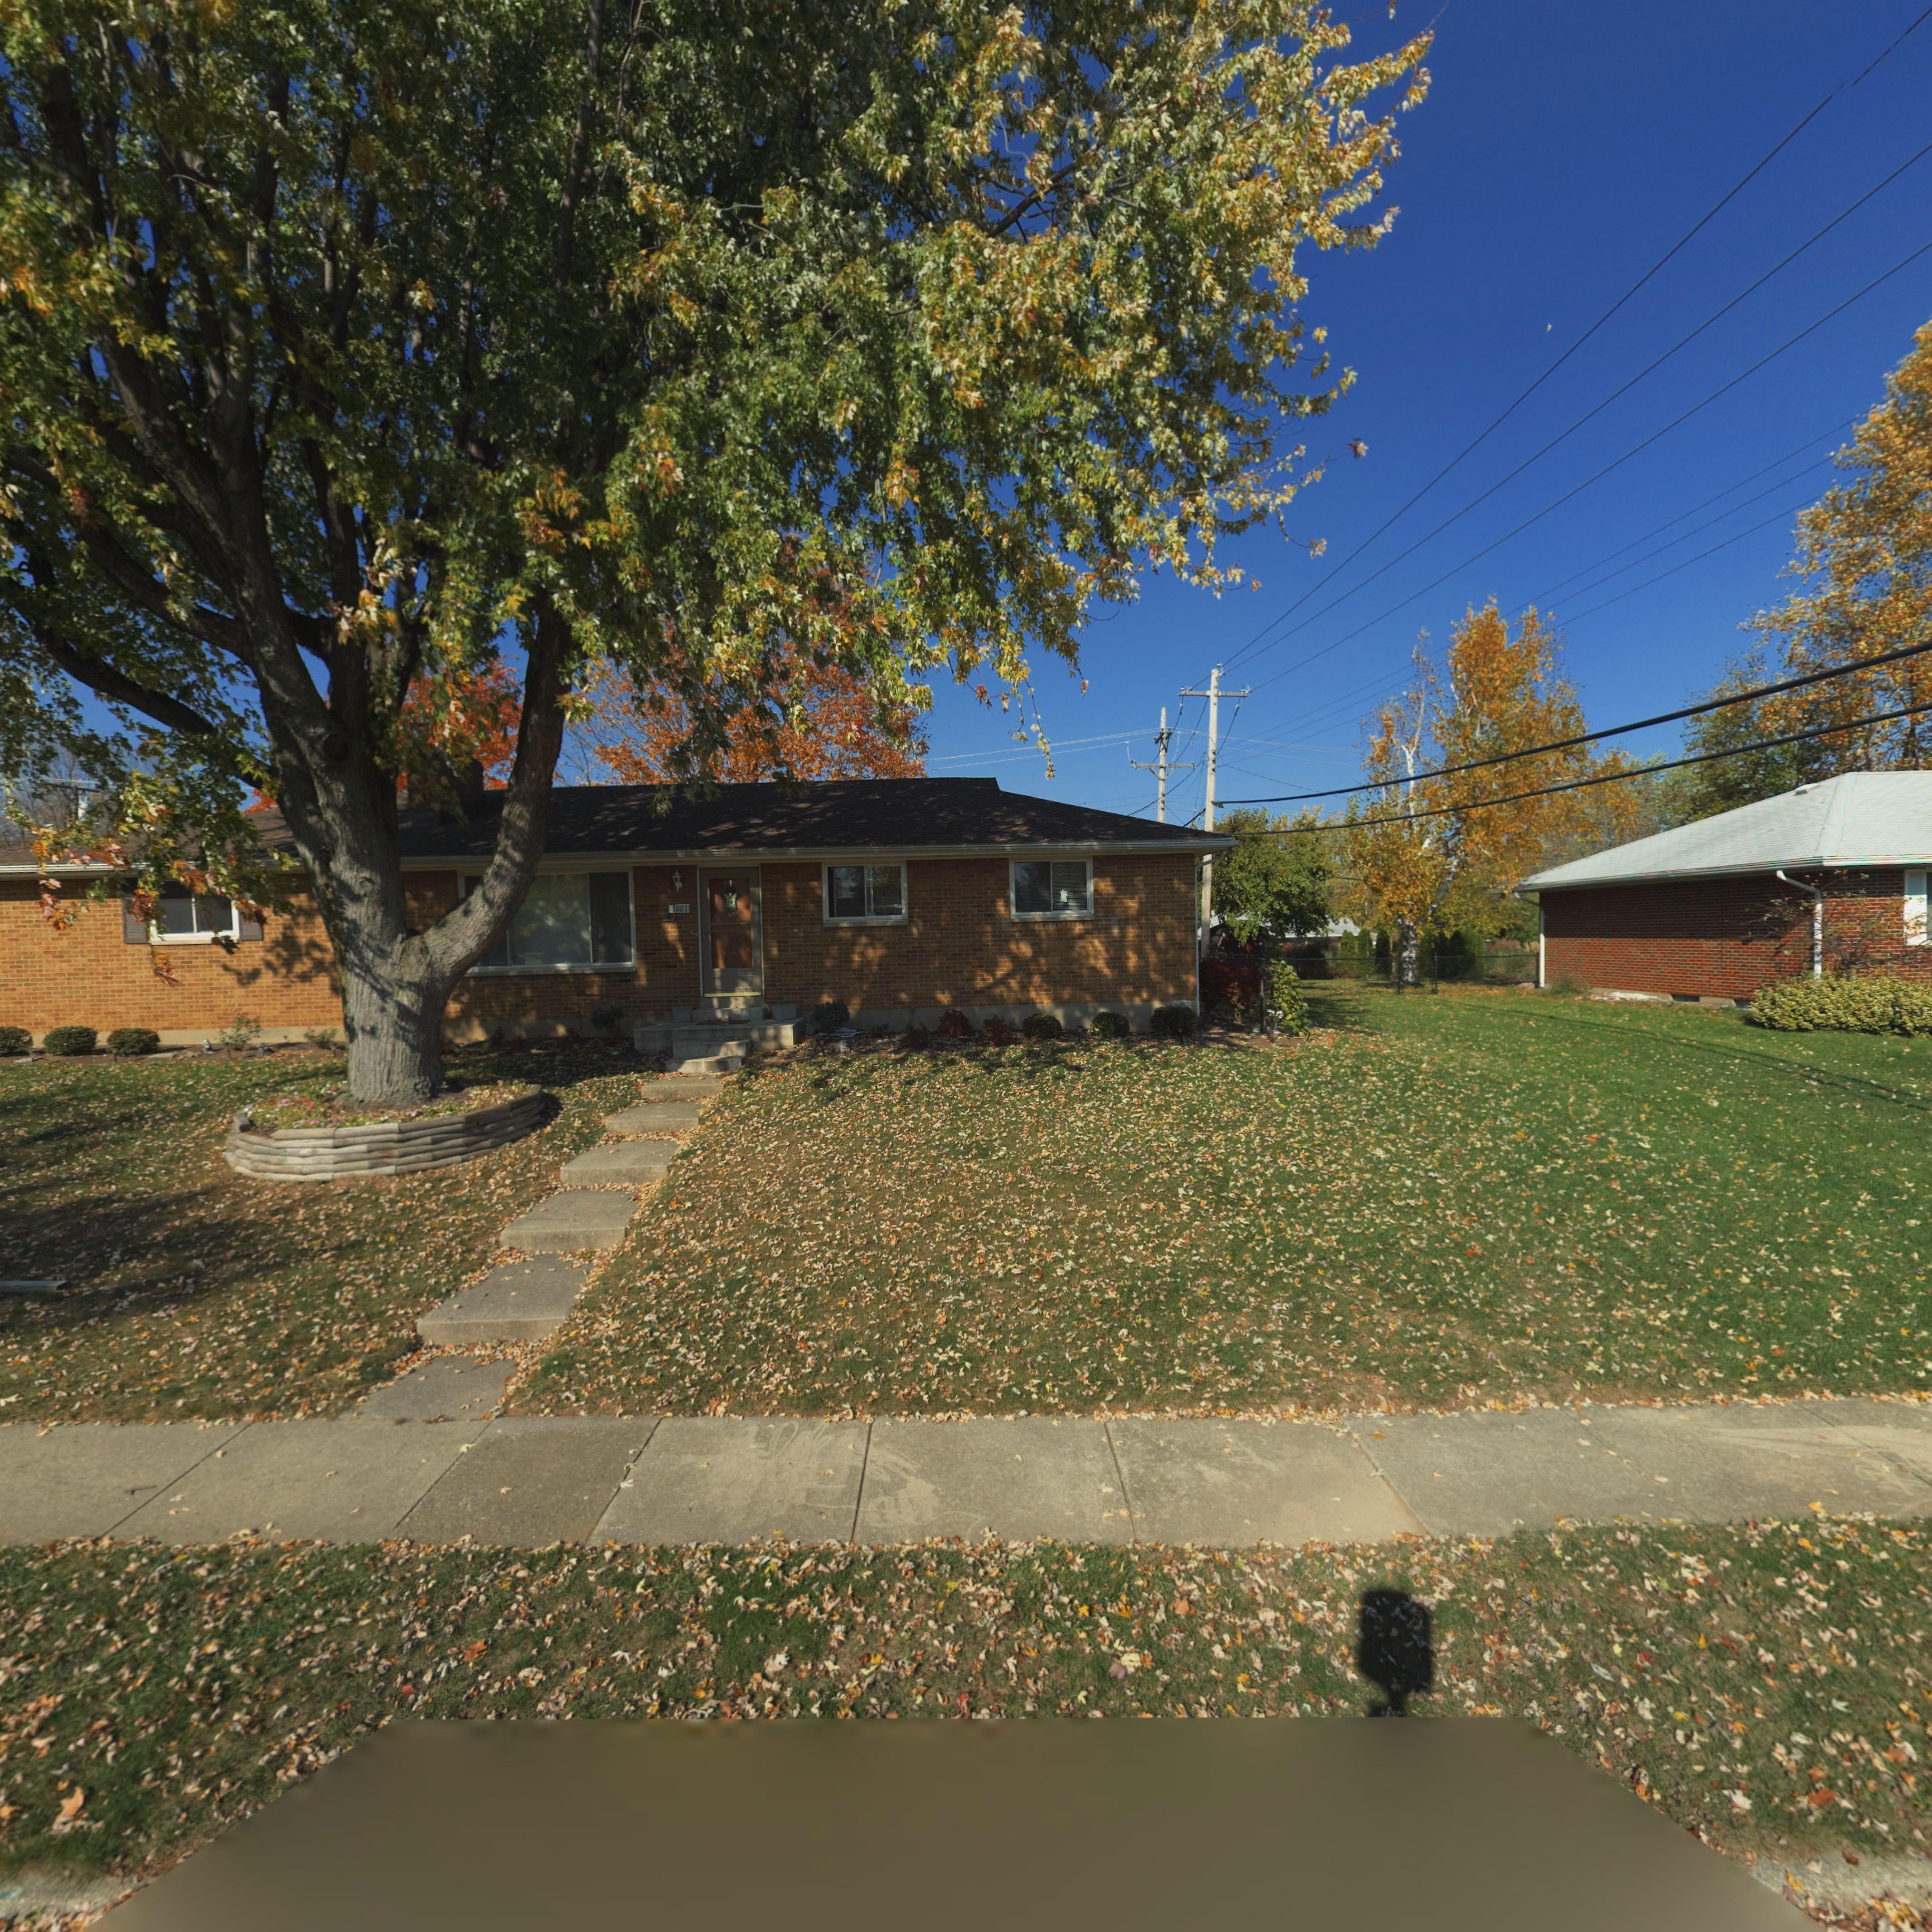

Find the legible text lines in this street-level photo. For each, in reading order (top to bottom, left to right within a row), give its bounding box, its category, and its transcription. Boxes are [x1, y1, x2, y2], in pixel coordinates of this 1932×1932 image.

[672, 904, 688, 913] StreetNumber: 1001